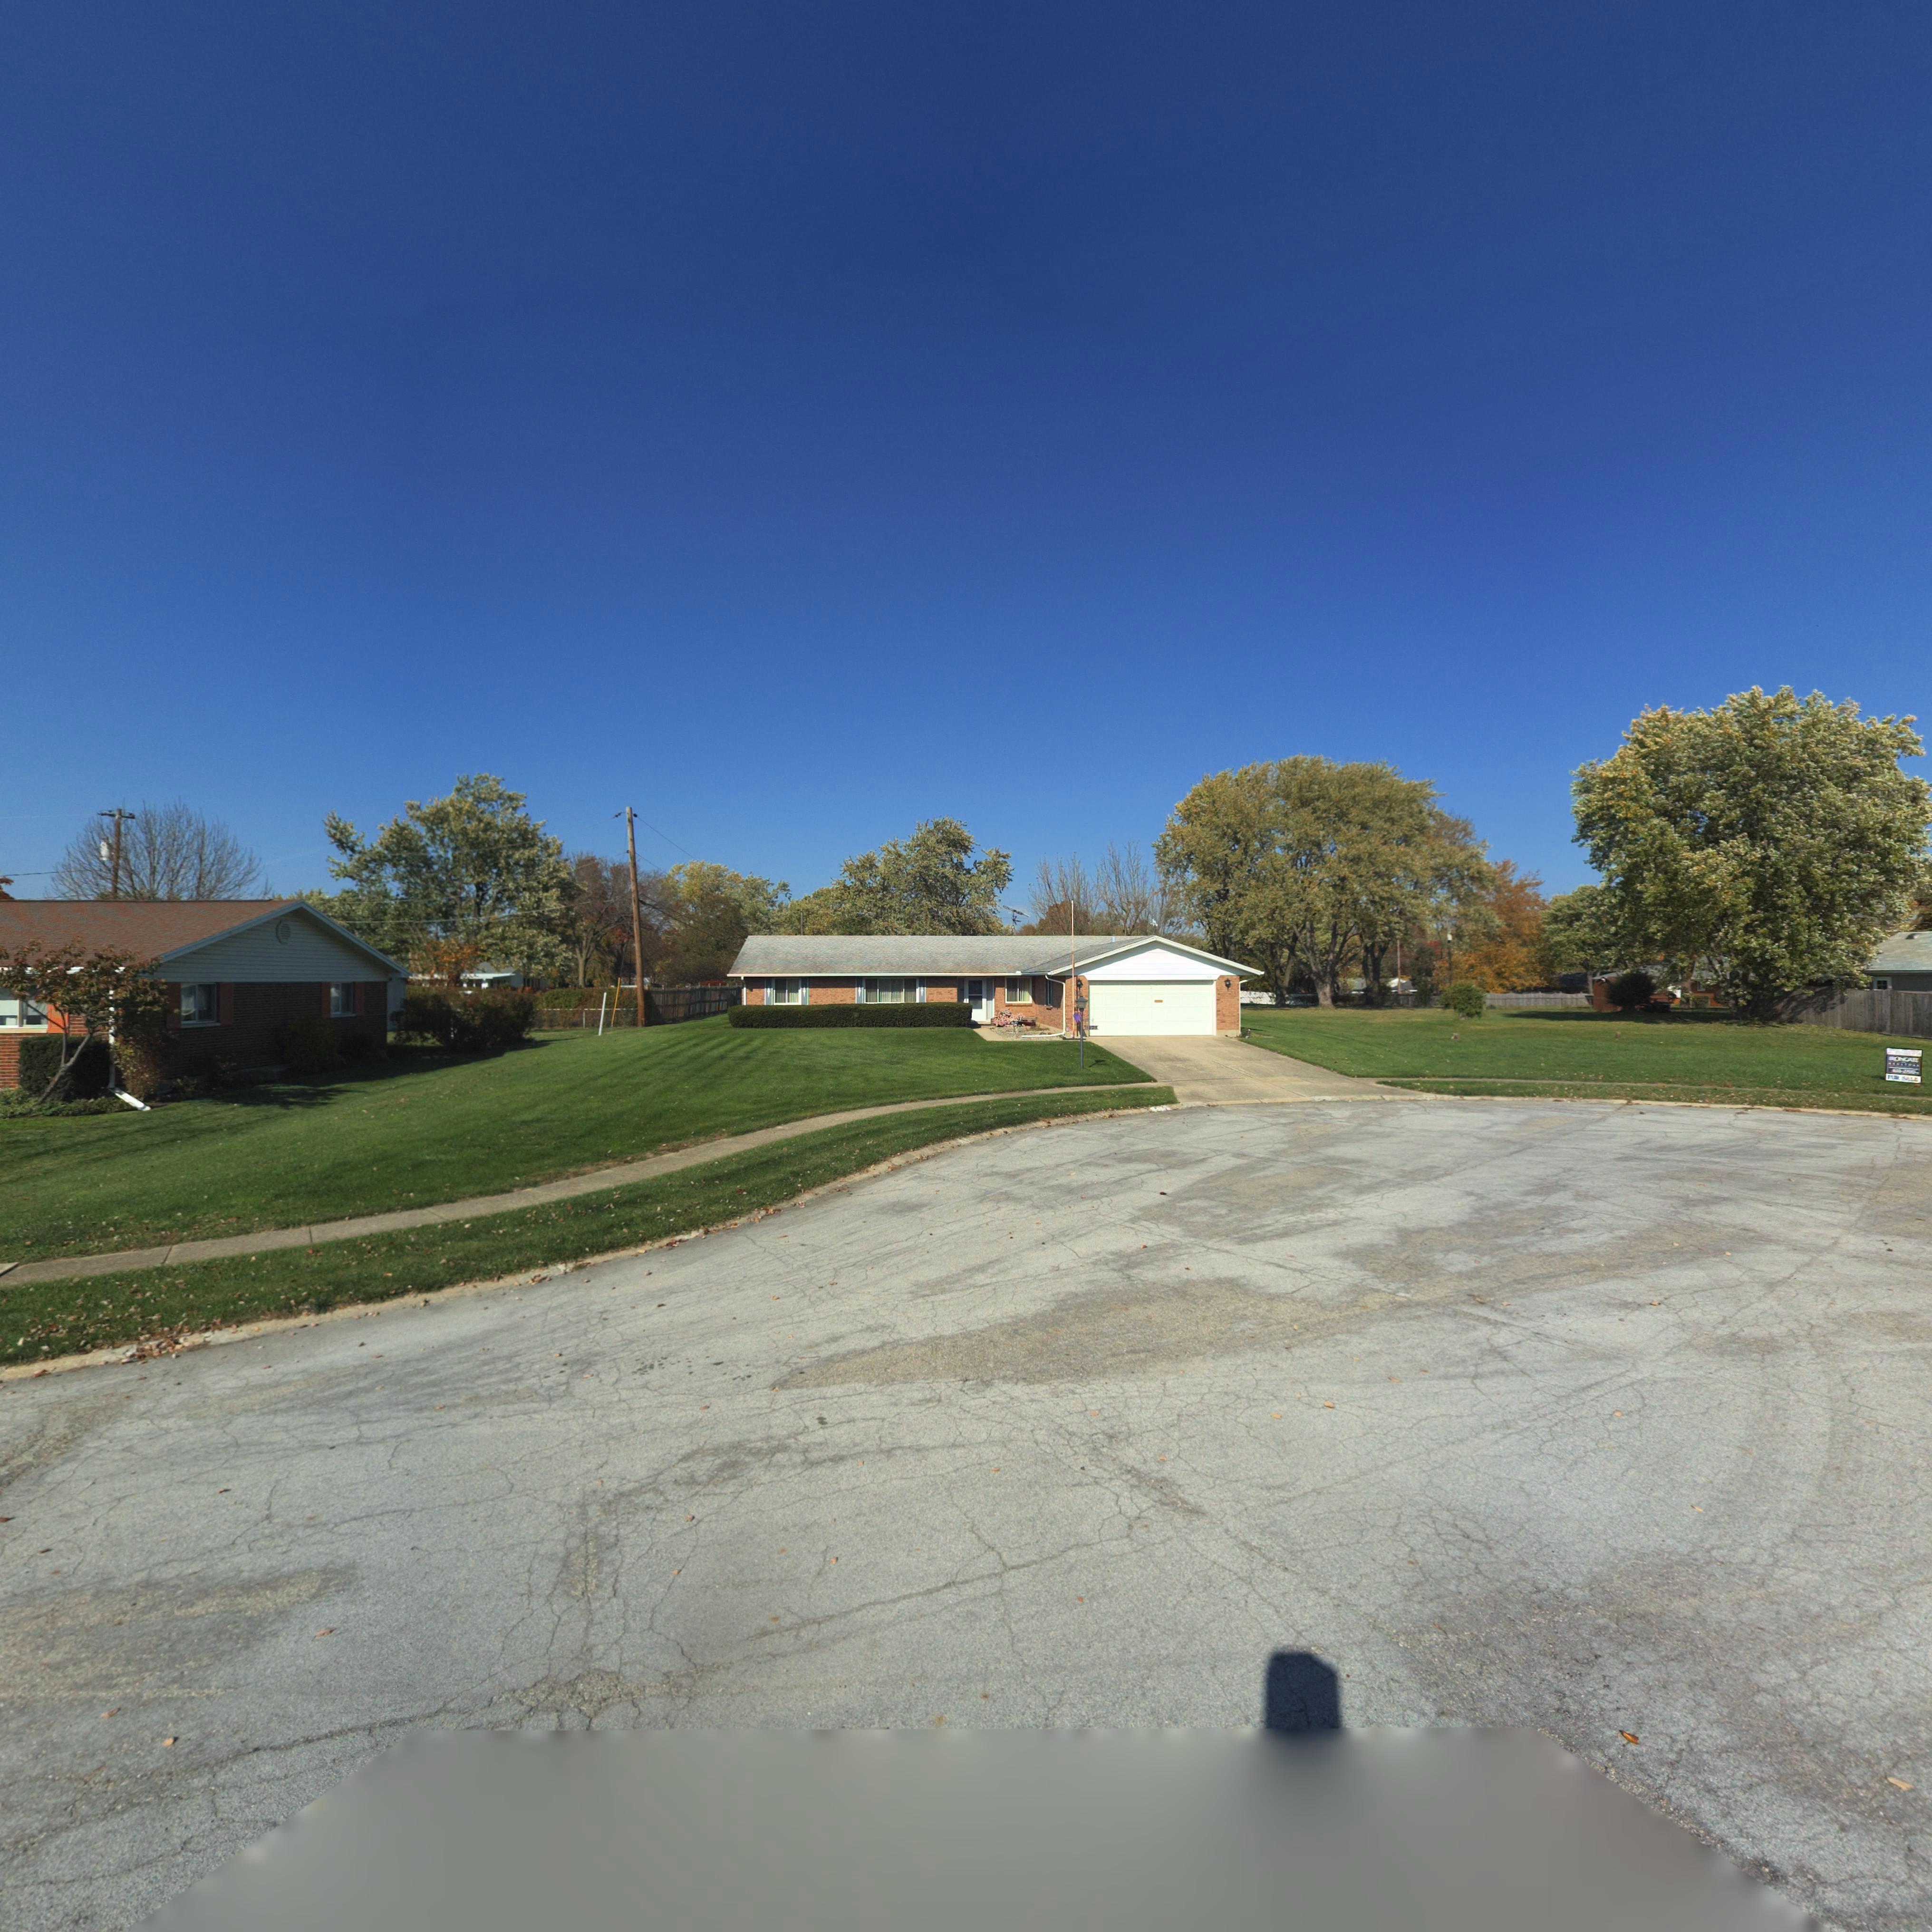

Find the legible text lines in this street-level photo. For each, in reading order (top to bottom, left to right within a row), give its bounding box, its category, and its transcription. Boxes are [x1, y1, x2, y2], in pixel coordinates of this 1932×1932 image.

[1086, 1026, 1097, 1030] StreetNumber: 102*